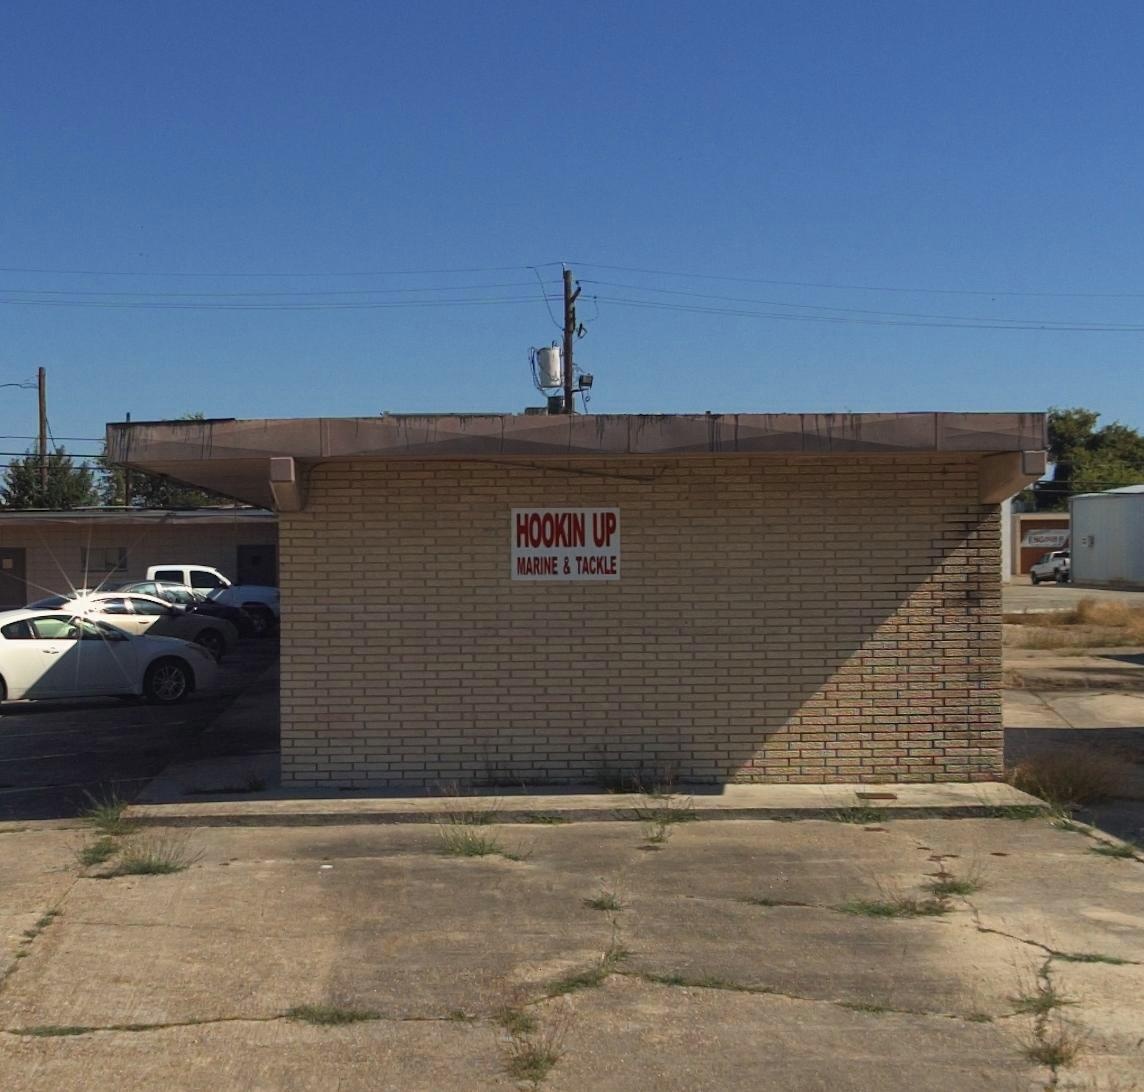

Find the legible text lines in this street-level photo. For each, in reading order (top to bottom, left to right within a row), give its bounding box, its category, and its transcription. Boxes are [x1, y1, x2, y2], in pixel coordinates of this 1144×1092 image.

[513, 508, 620, 549] BusinessName: HOOKIN UP
[514, 552, 618, 578] BusinessName: MARINE & TACKLE